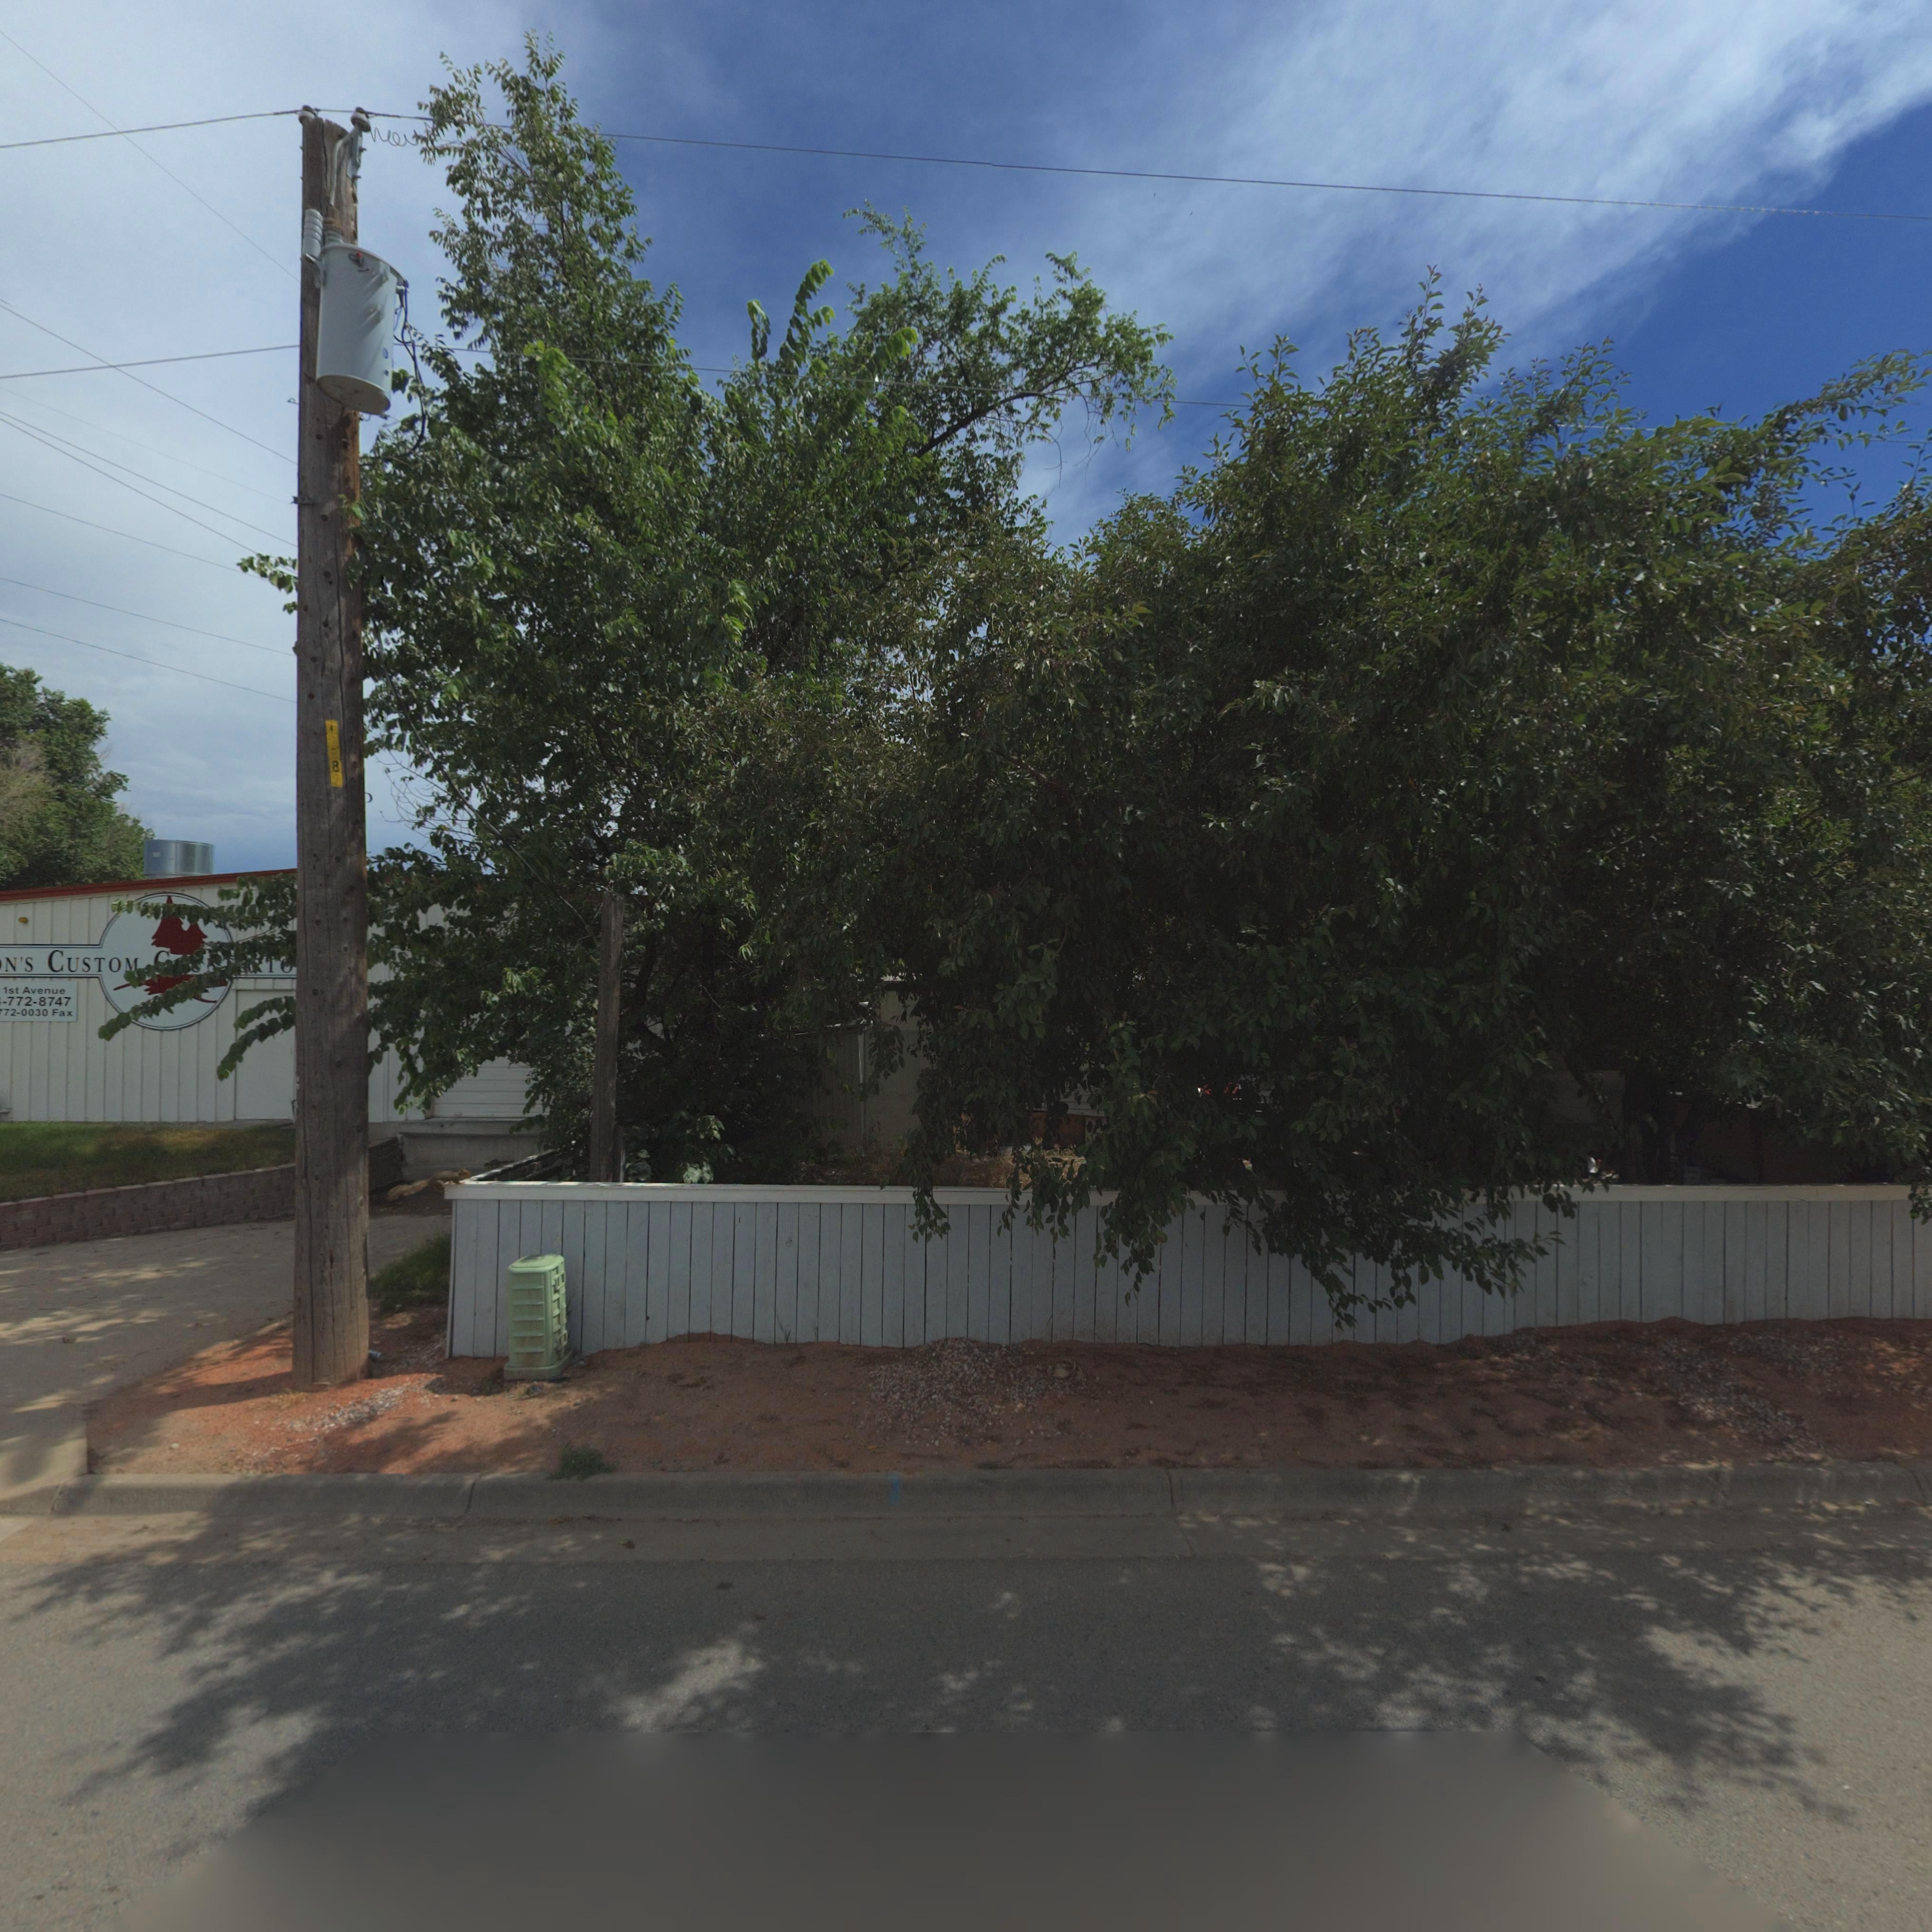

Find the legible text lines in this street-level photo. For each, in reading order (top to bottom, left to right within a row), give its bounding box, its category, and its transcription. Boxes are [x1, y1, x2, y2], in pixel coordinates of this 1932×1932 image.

[4, 948, 295, 974] BusinessName: N"S CUSTOM C*********
[2, 986, 66, 995] StreetName: 1st Avenue